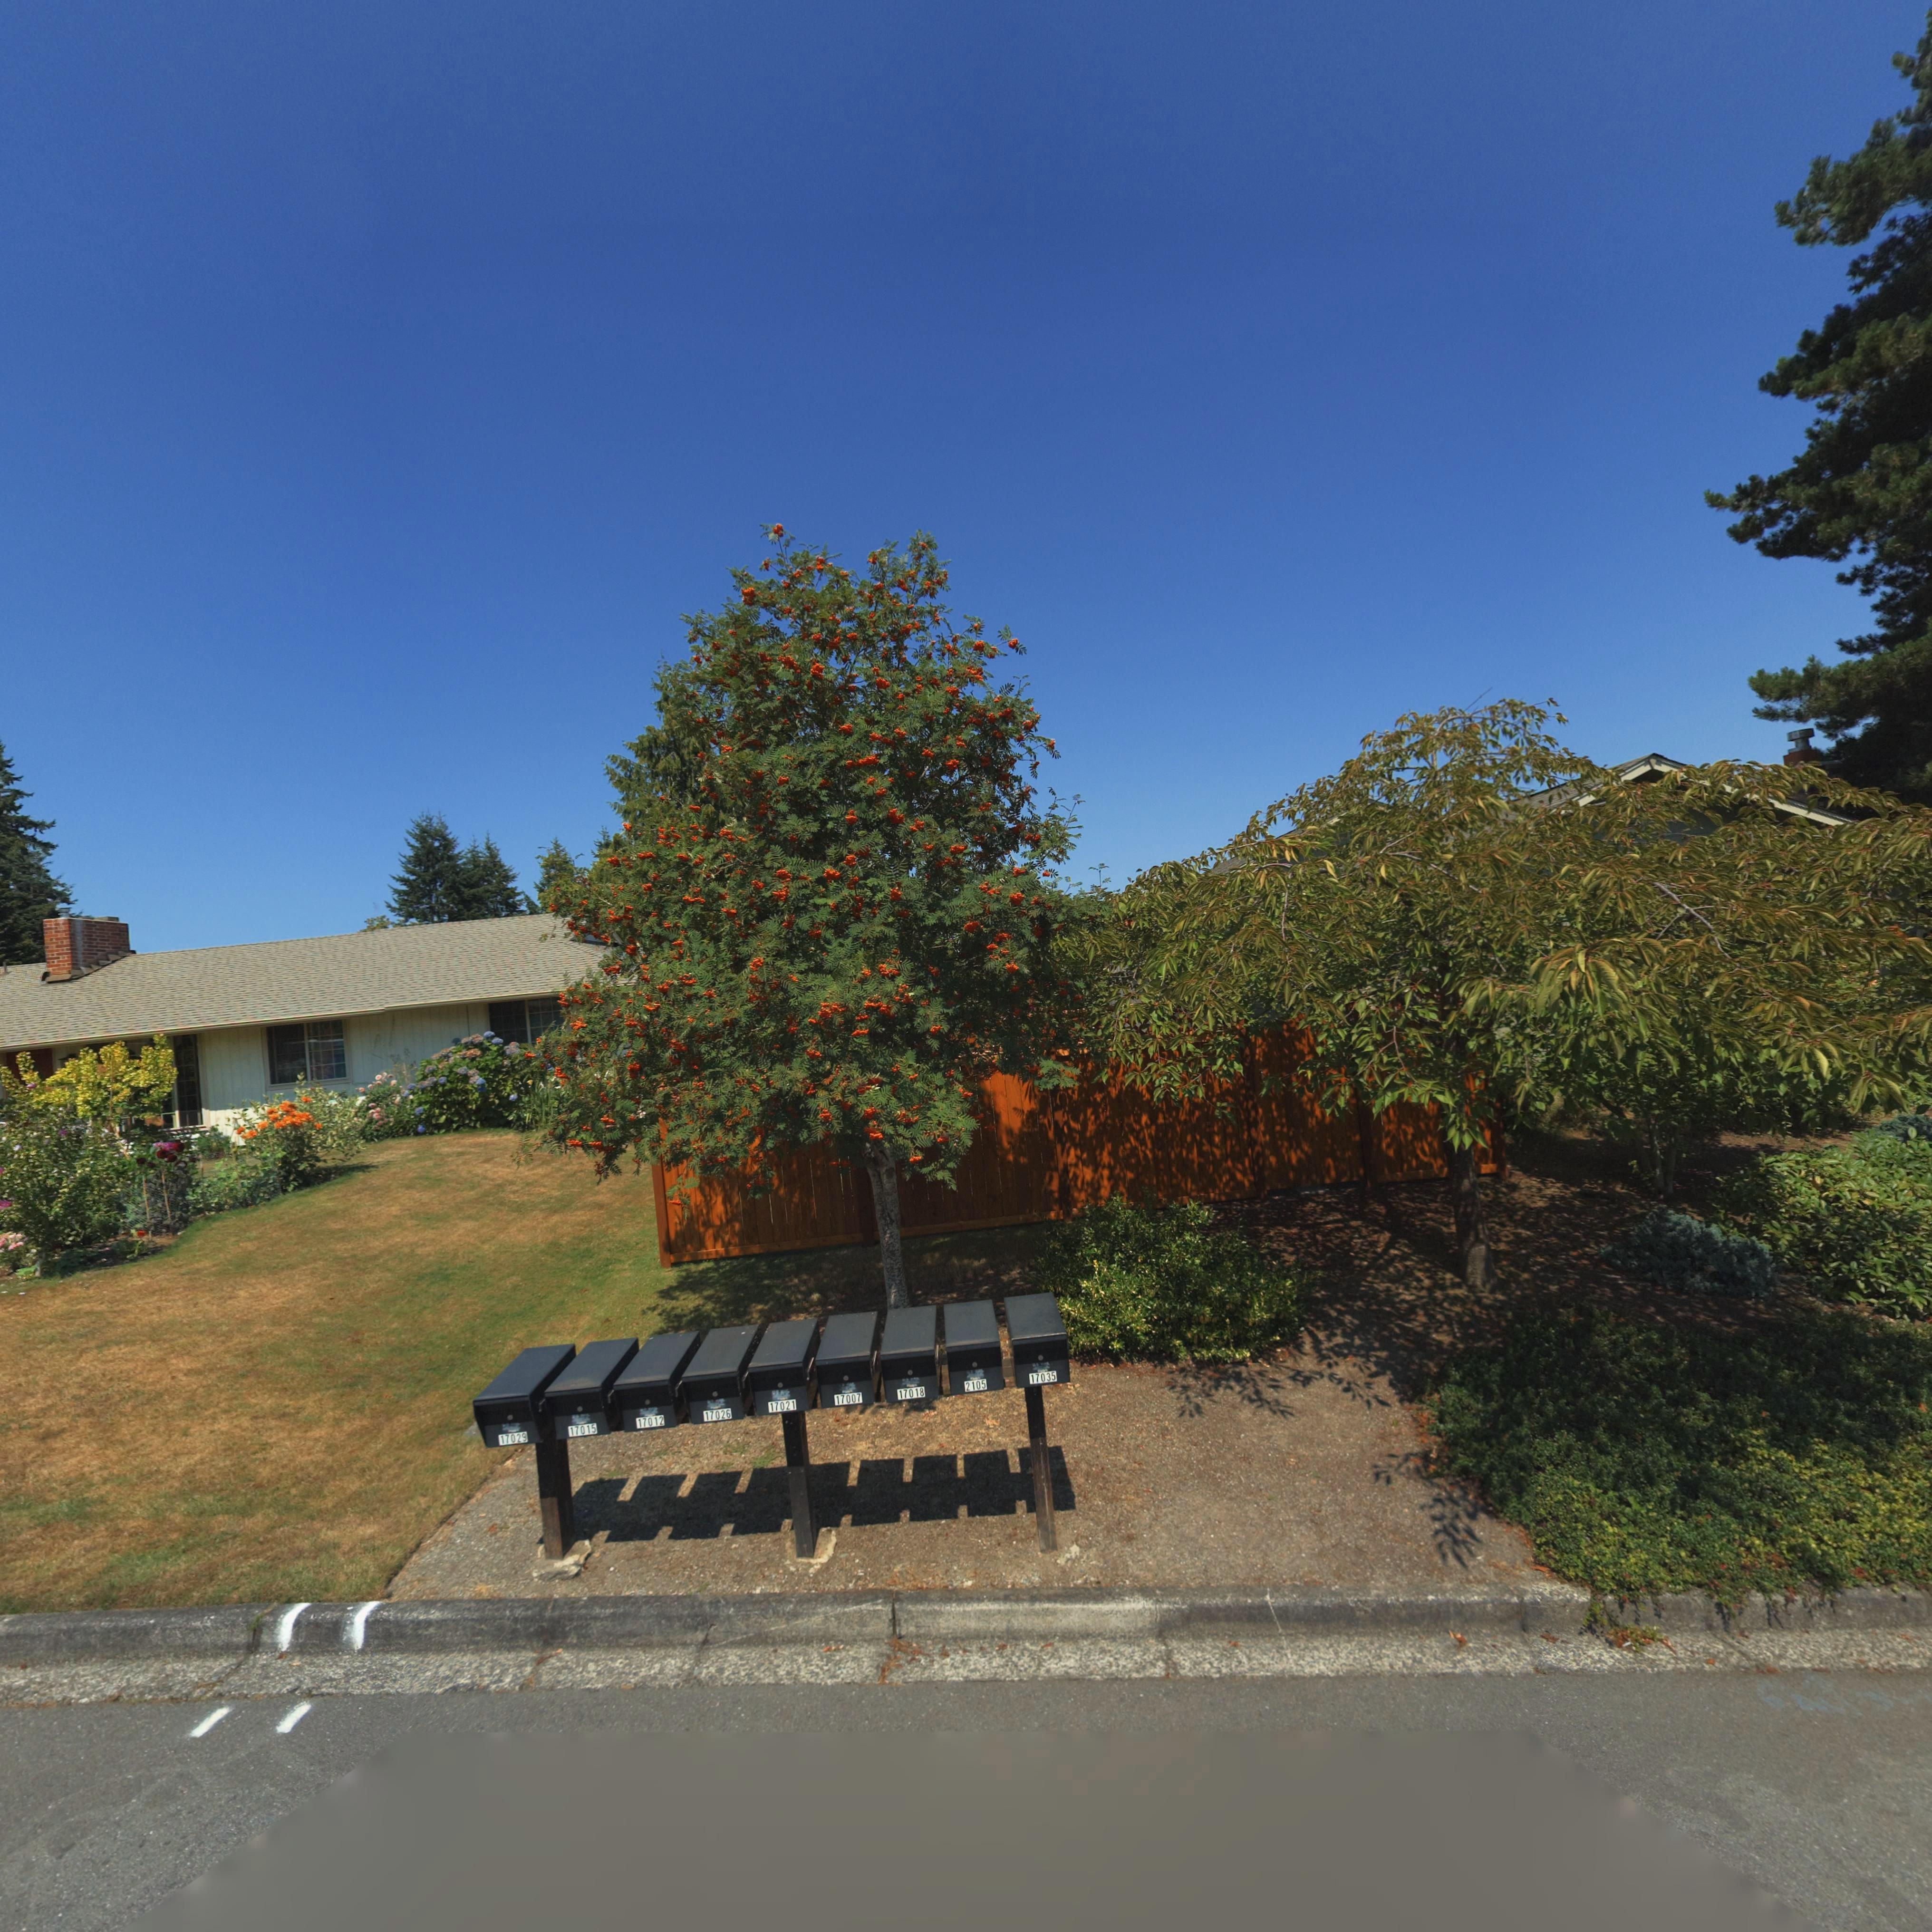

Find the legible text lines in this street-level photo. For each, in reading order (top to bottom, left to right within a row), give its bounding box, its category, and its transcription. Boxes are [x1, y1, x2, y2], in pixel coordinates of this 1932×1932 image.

[1030, 1371, 1055, 1383] StreetNumber: 17035
[965, 1379, 987, 1391] StreetNumber: 2105
[836, 1392, 861, 1405] StreetNumber: 17007
[898, 1387, 925, 1400] StreetNumber: 17018
[770, 1400, 796, 1412] StreetNumber: 17021
[705, 1409, 731, 1420] StreetNumber: 17026
[638, 1416, 664, 1428] StreetNumber: 17012
[570, 1423, 596, 1436] StreetNumber: 17015
[500, 1431, 527, 1444] StreetNumber: 17029